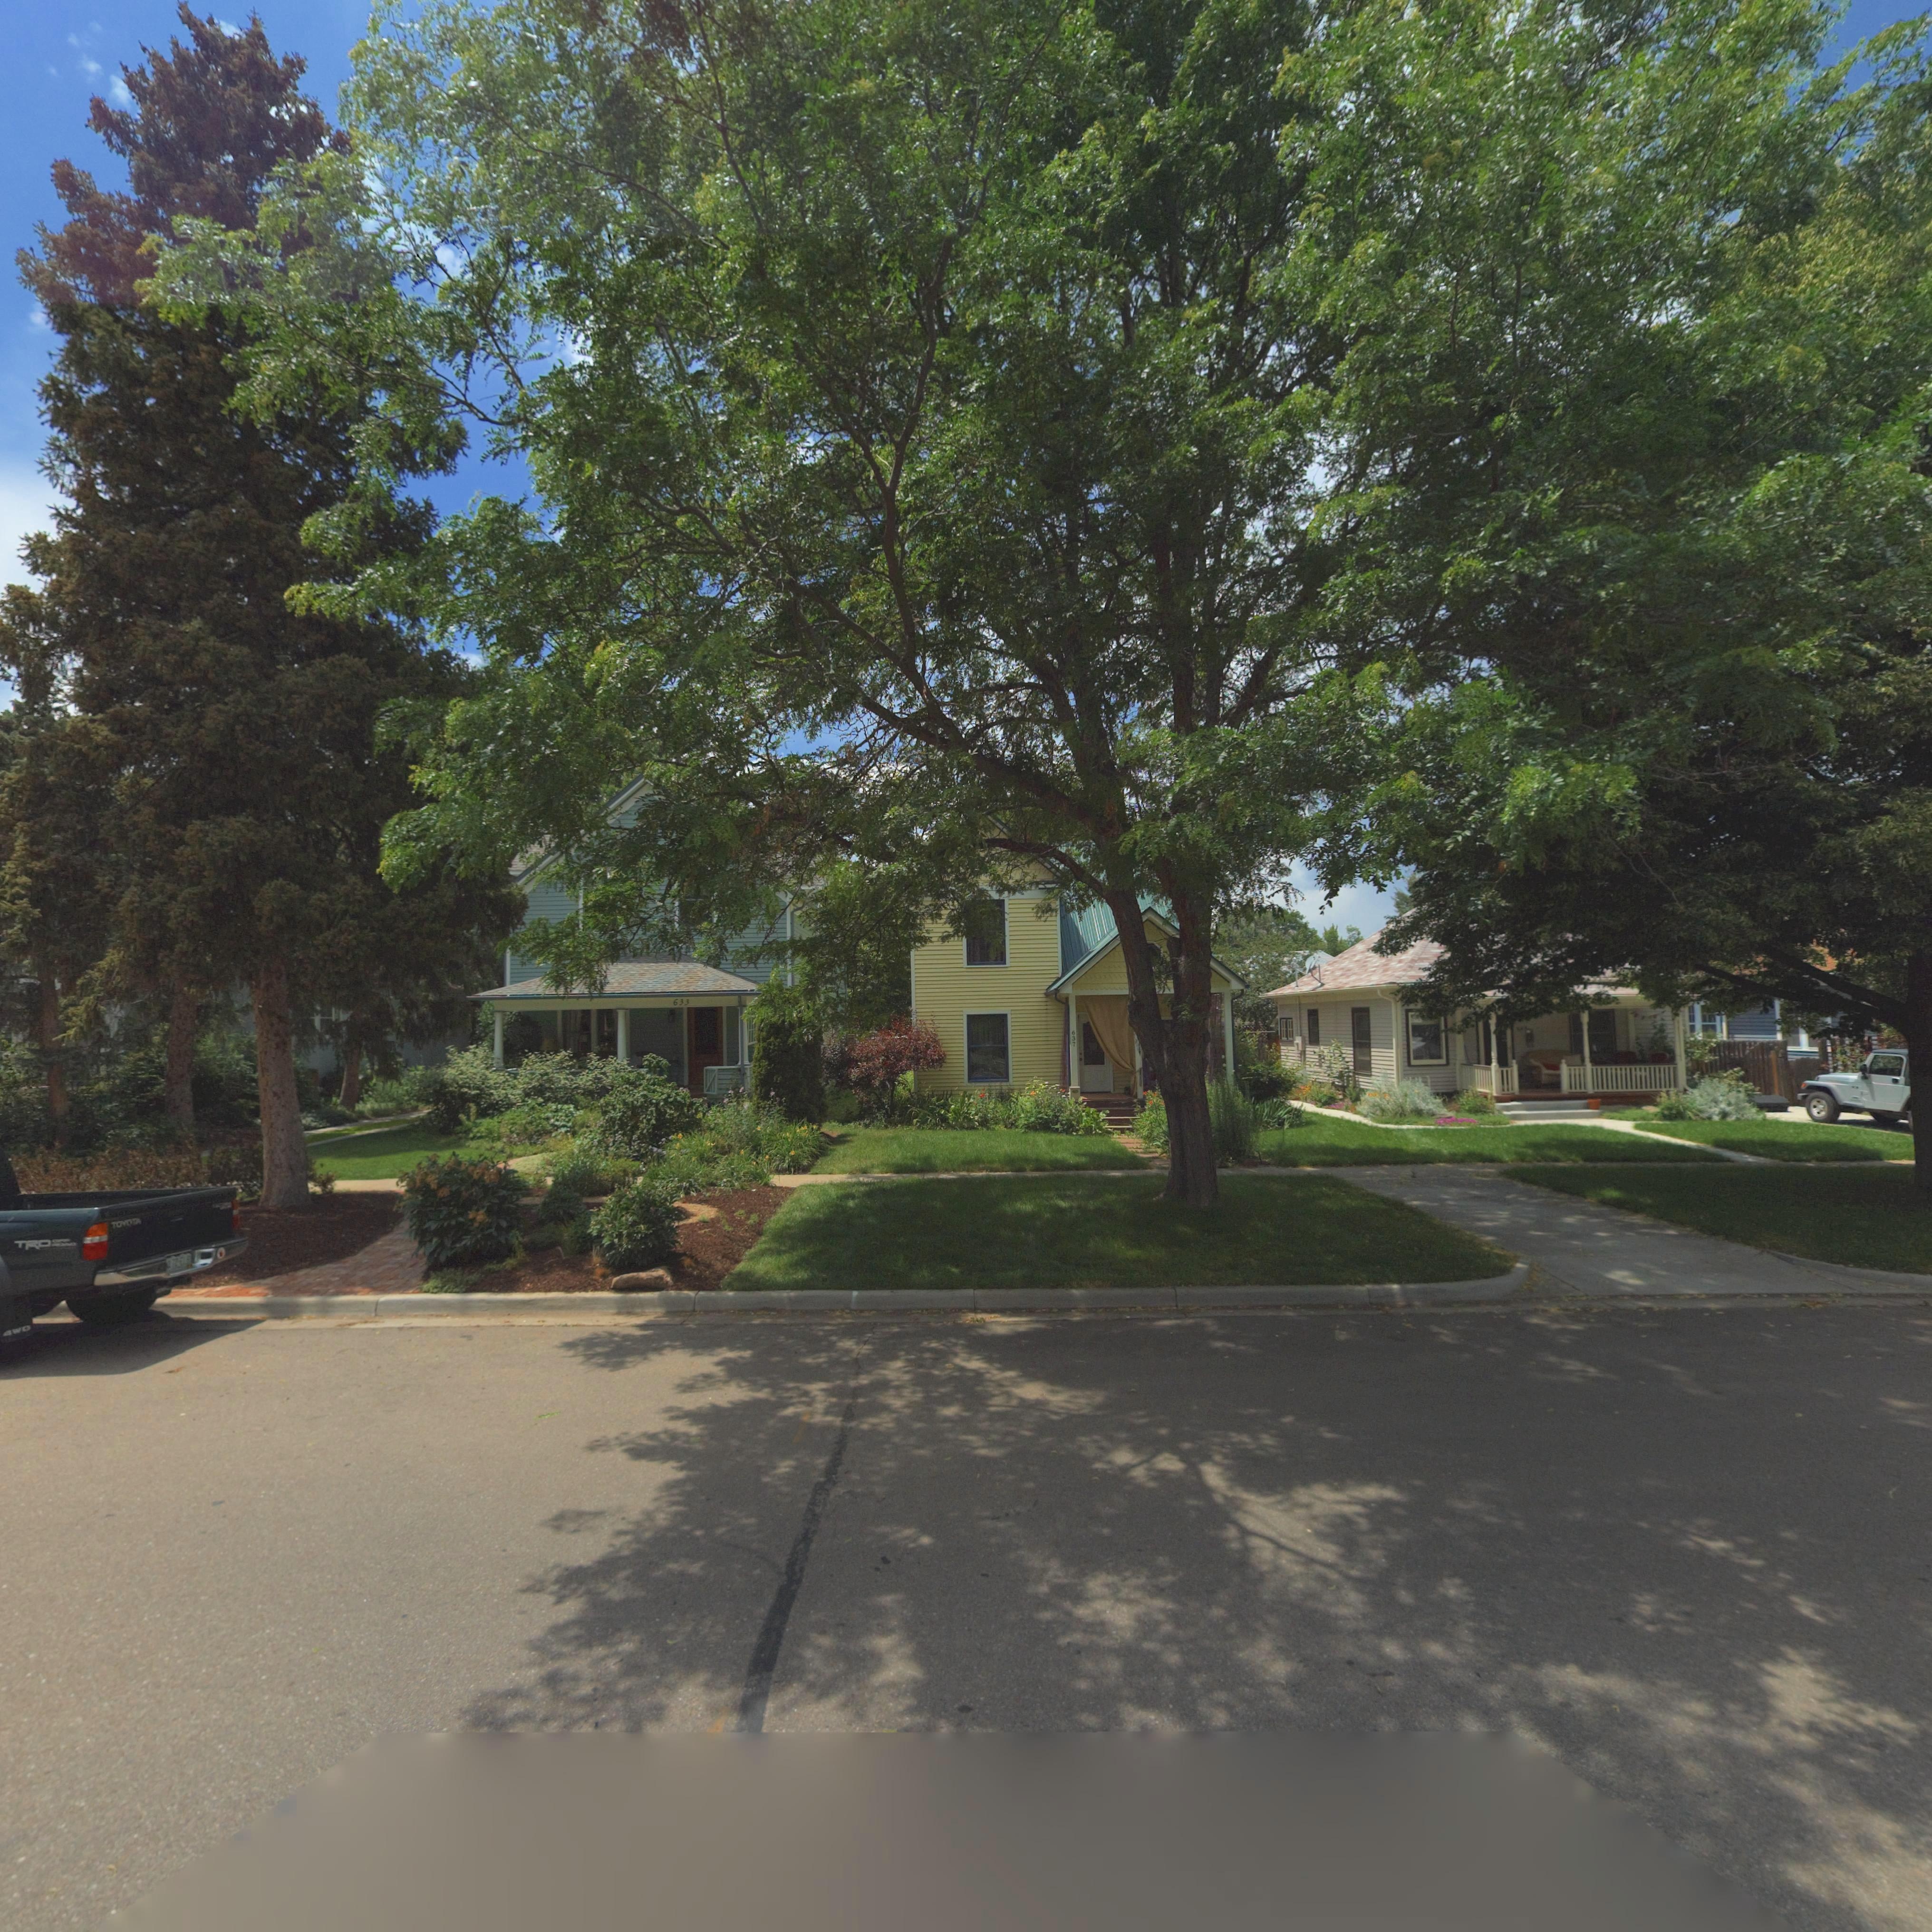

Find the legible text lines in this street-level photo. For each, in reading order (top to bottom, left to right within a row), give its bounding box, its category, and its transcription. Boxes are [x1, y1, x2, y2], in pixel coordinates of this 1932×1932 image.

[673, 998, 689, 1005] StreetNumber: 633
[1072, 1029, 1076, 1047] StreetNumber: 637